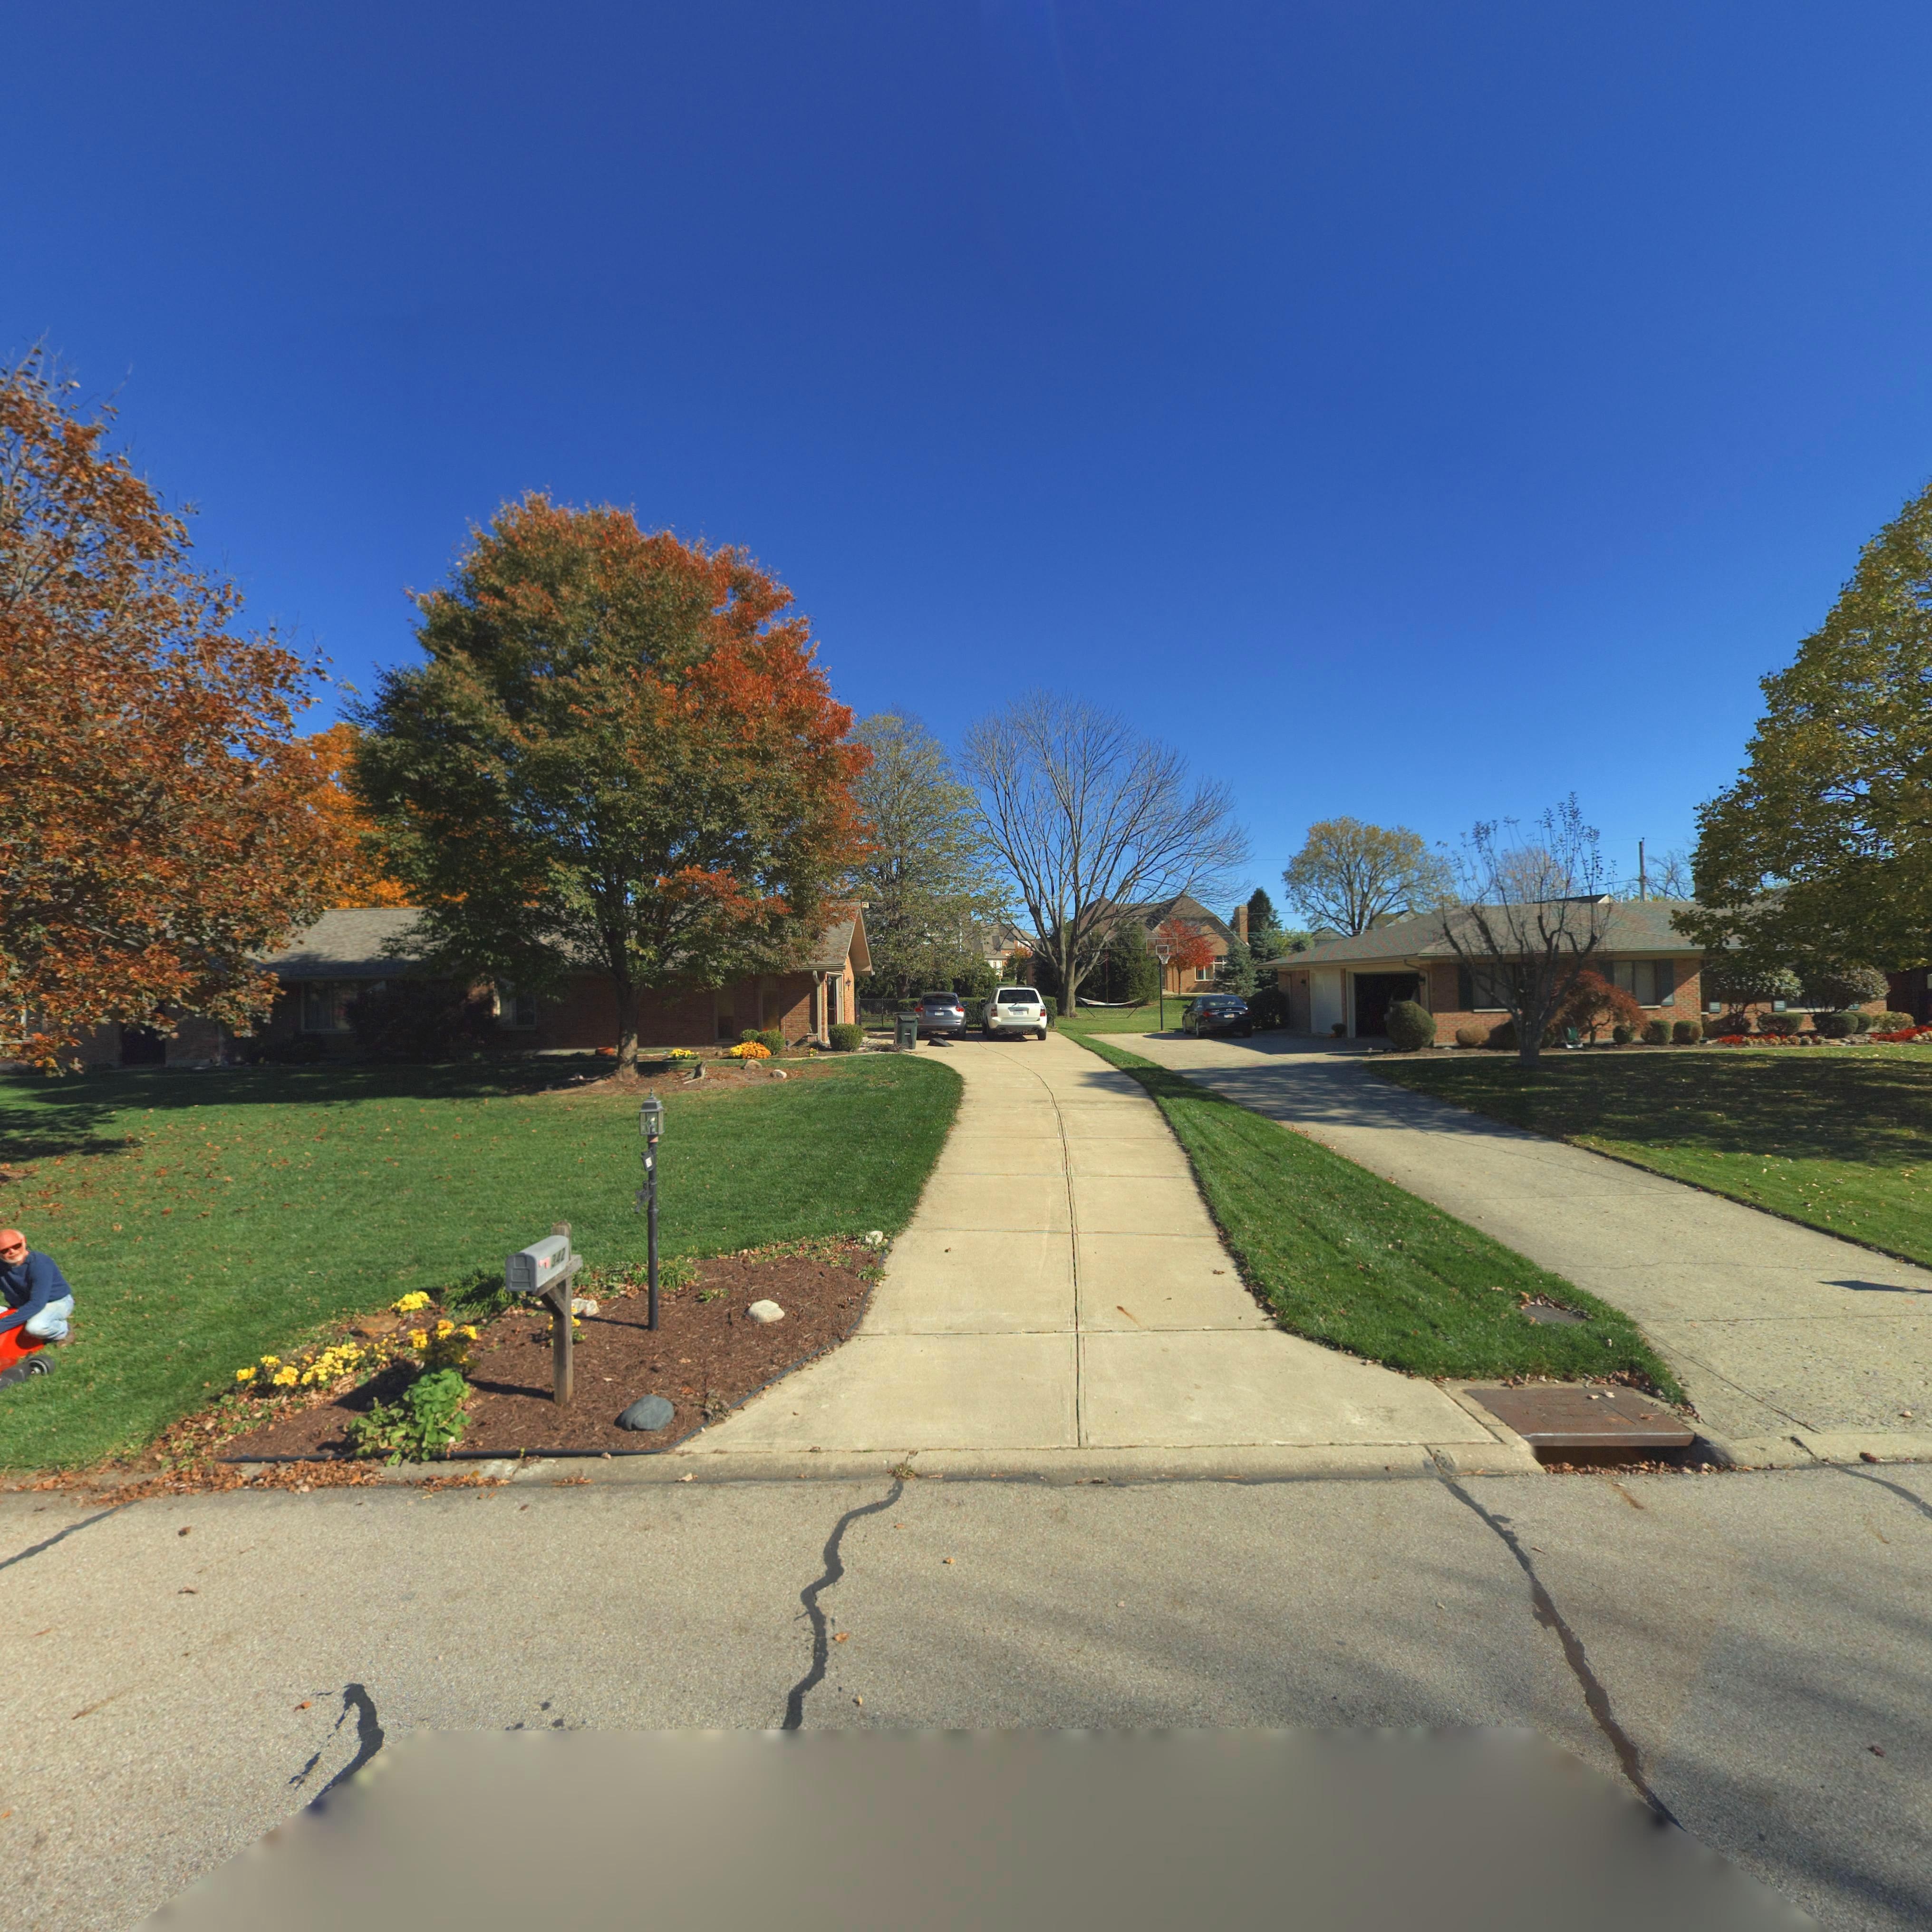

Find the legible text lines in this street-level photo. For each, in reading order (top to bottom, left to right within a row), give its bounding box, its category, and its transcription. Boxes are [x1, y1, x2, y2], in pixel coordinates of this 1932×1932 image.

[551, 1246, 566, 1270] StreetNumber: 342